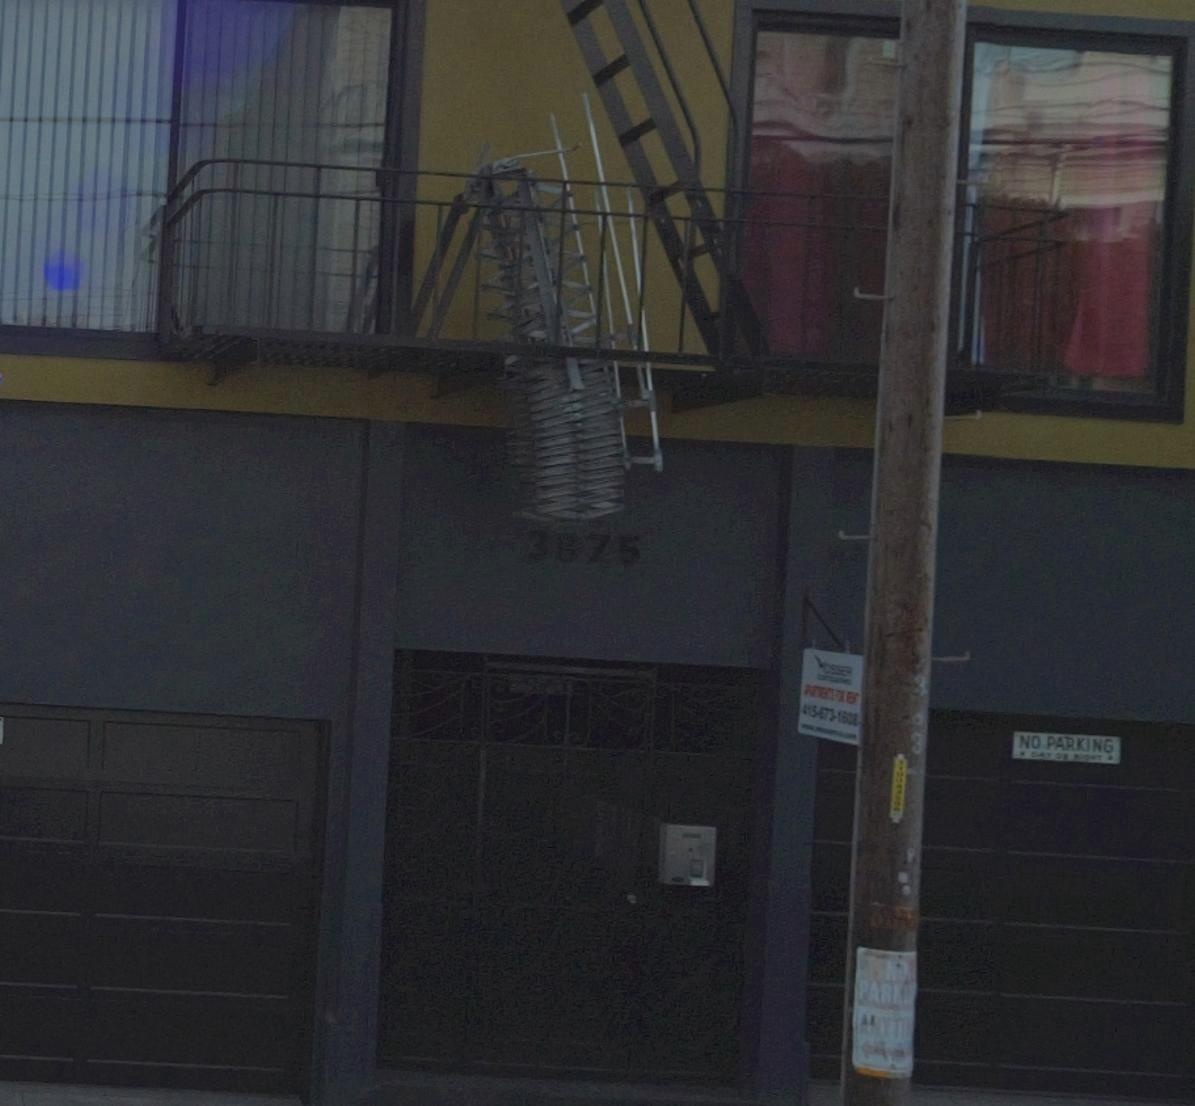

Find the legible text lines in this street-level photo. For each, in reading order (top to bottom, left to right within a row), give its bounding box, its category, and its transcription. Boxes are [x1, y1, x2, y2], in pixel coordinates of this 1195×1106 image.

[524, 528, 642, 569] StreetNumber: 3875
[903, 727, 924, 760] None: 3
[1018, 733, 1114, 753] None: NO PARKING
[883, 961, 910, 982] None: NO
[858, 980, 906, 1005] None: PARK